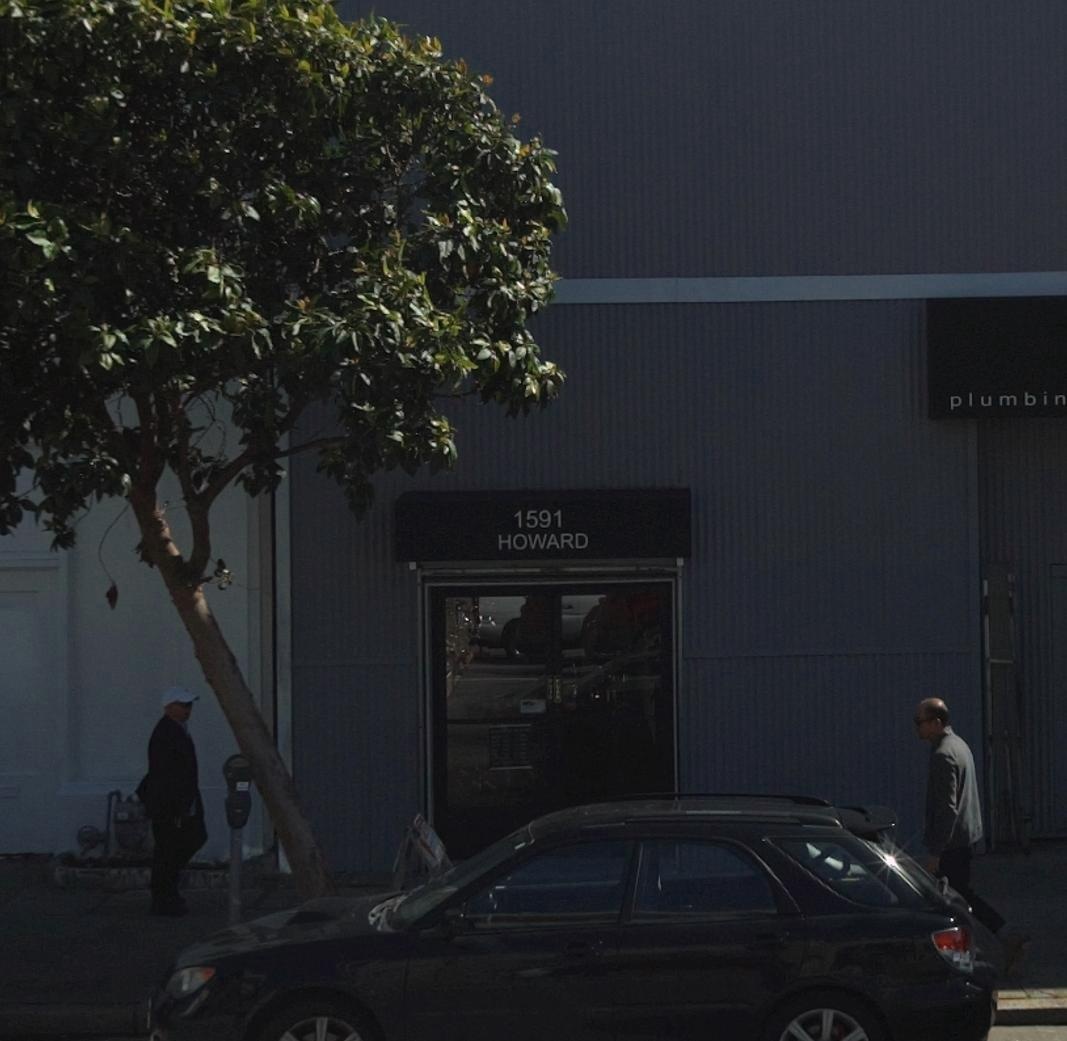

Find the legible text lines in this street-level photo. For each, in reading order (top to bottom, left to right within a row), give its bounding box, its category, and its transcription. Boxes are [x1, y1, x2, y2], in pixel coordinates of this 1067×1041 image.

[945, 385, 1067, 416] BusinessName: plumbin
[511, 506, 567, 531] StreetNumber: 1591
[495, 530, 592, 552] StreetName: HOWARD